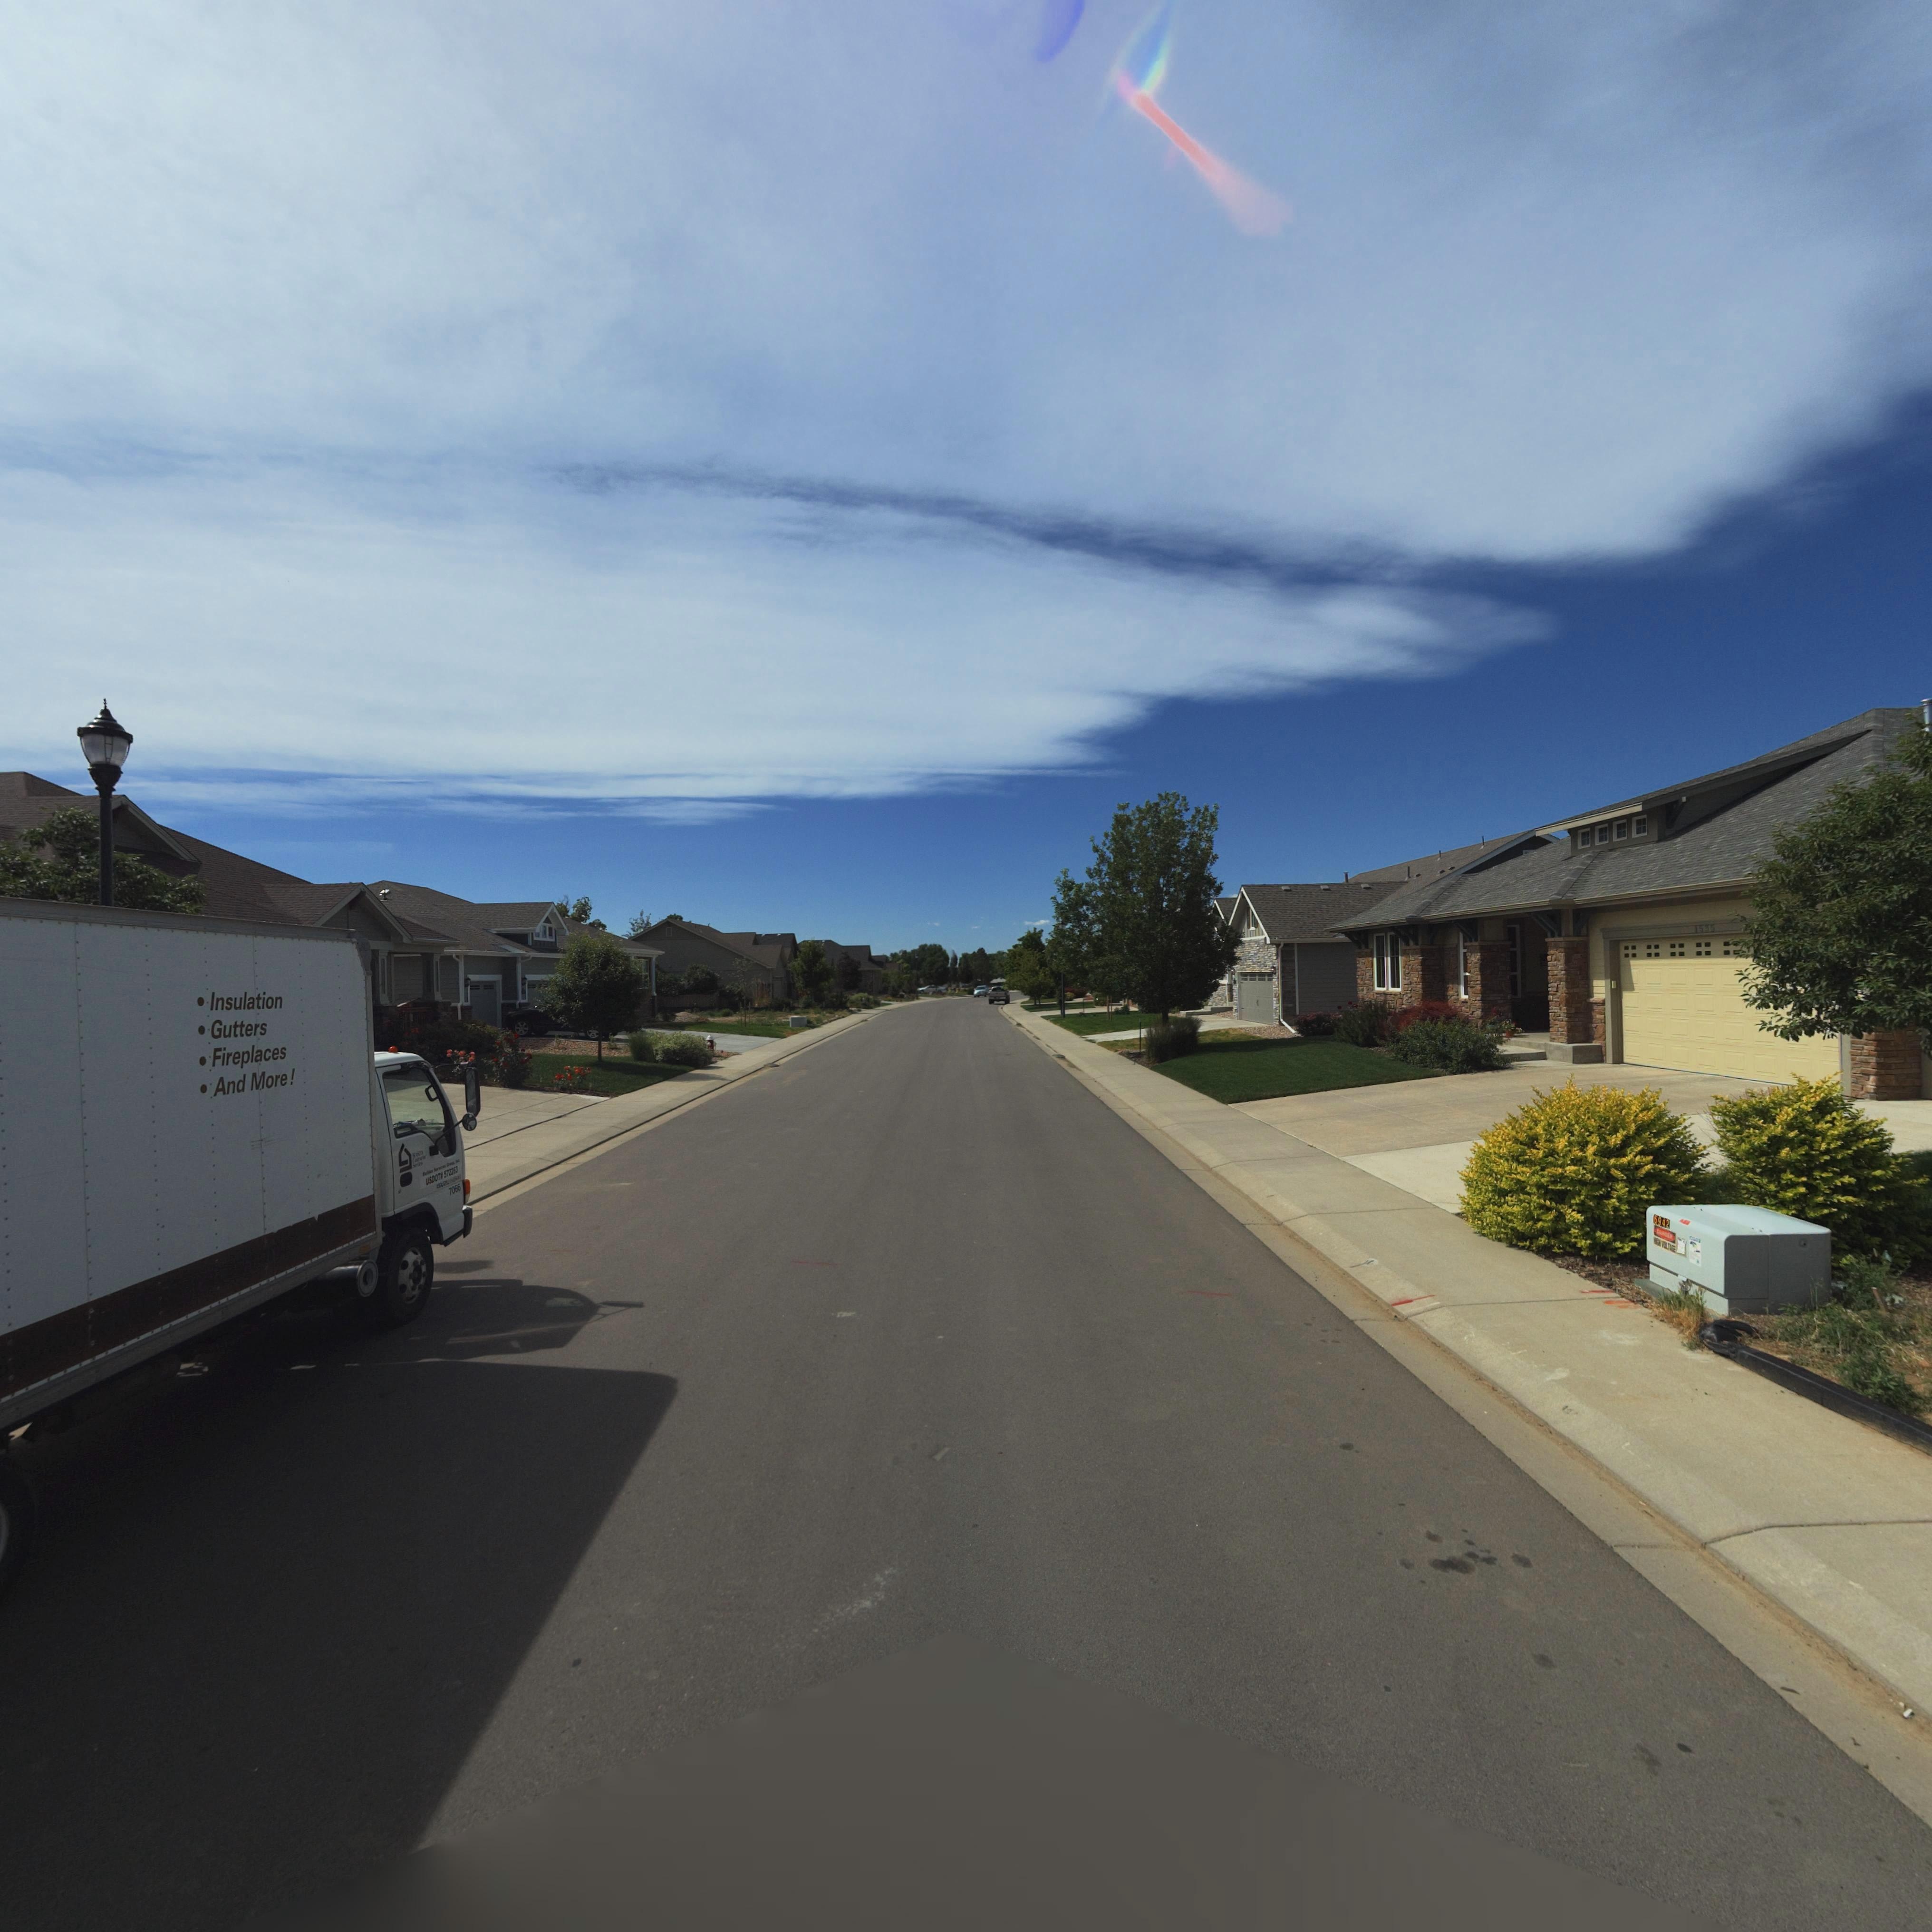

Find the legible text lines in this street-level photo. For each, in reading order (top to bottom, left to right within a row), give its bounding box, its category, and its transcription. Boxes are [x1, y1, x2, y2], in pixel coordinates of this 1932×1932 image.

[1694, 923, 1716, 934] StreetNumber: 1535